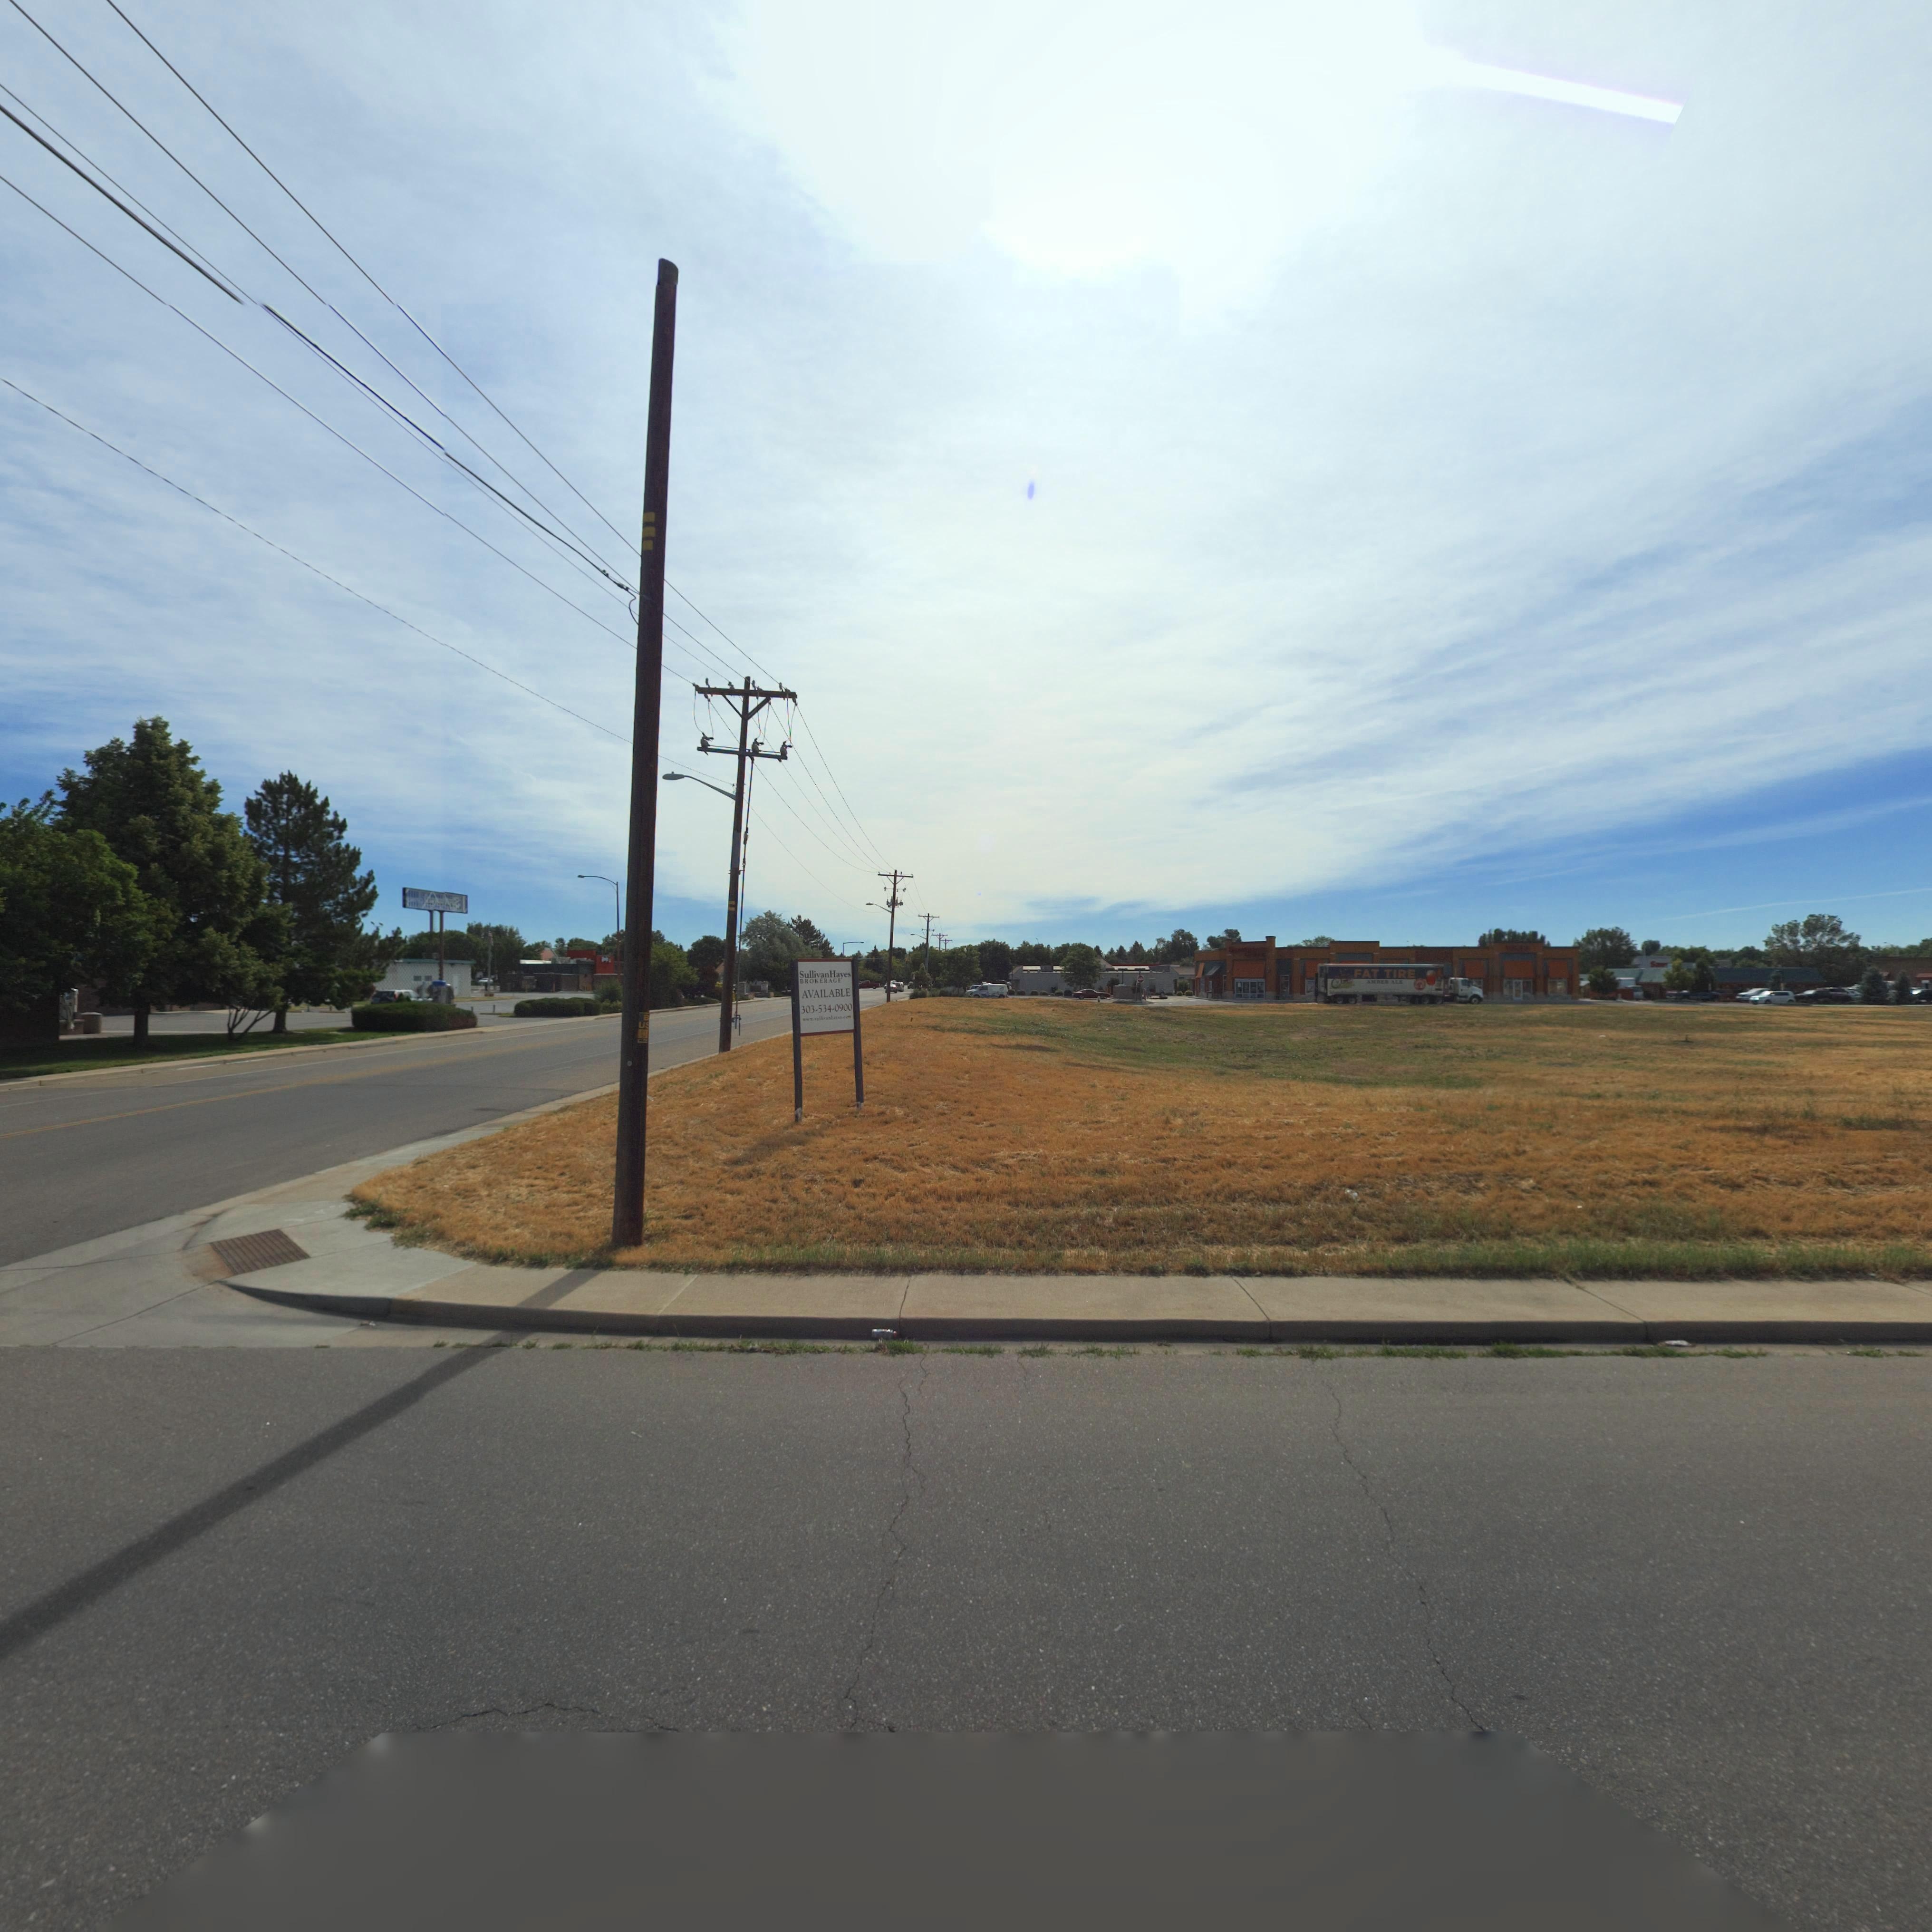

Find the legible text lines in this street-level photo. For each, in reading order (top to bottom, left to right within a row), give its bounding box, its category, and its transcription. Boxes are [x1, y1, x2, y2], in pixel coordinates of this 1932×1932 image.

[1650, 960, 1668, 967] BusinessName: S***